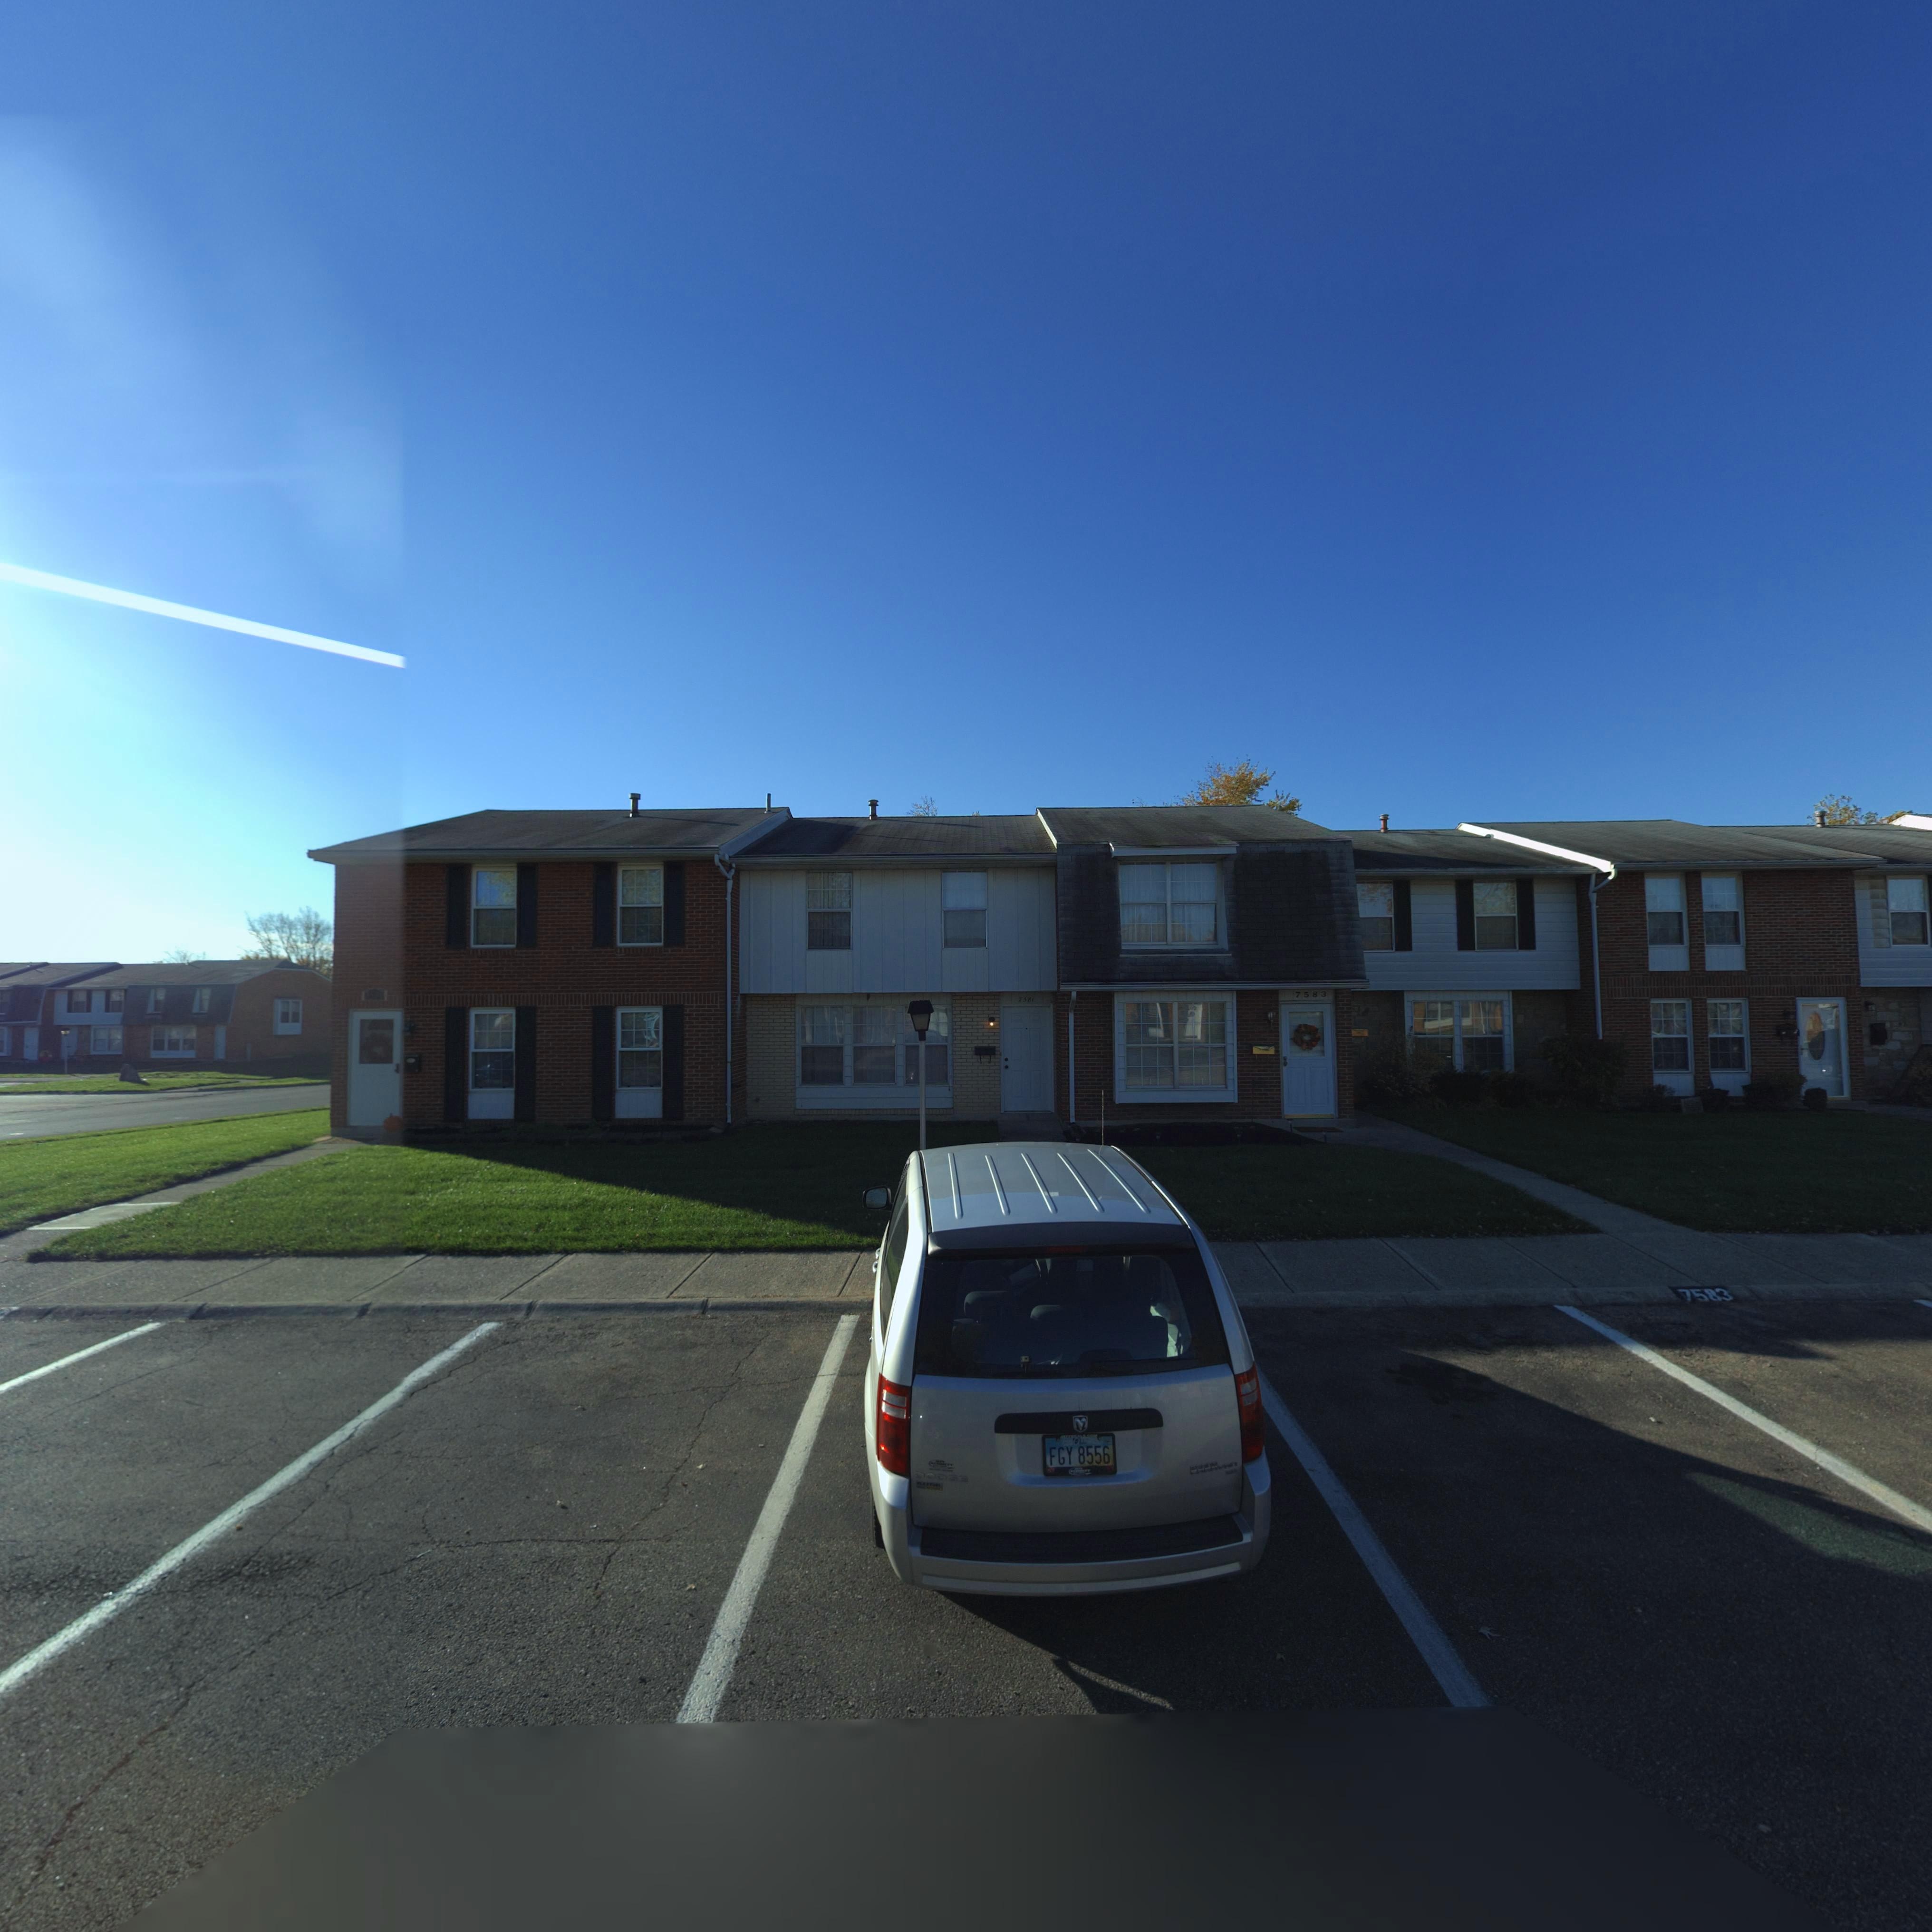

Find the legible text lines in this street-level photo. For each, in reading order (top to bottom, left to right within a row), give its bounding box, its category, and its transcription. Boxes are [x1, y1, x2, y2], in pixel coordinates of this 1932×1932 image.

[1294, 990, 1326, 998] StreetNumber: 7583
[1018, 996, 1034, 1003] StreetNumber: 7581
[1676, 1287, 1734, 1302] StreetNumber: 7583